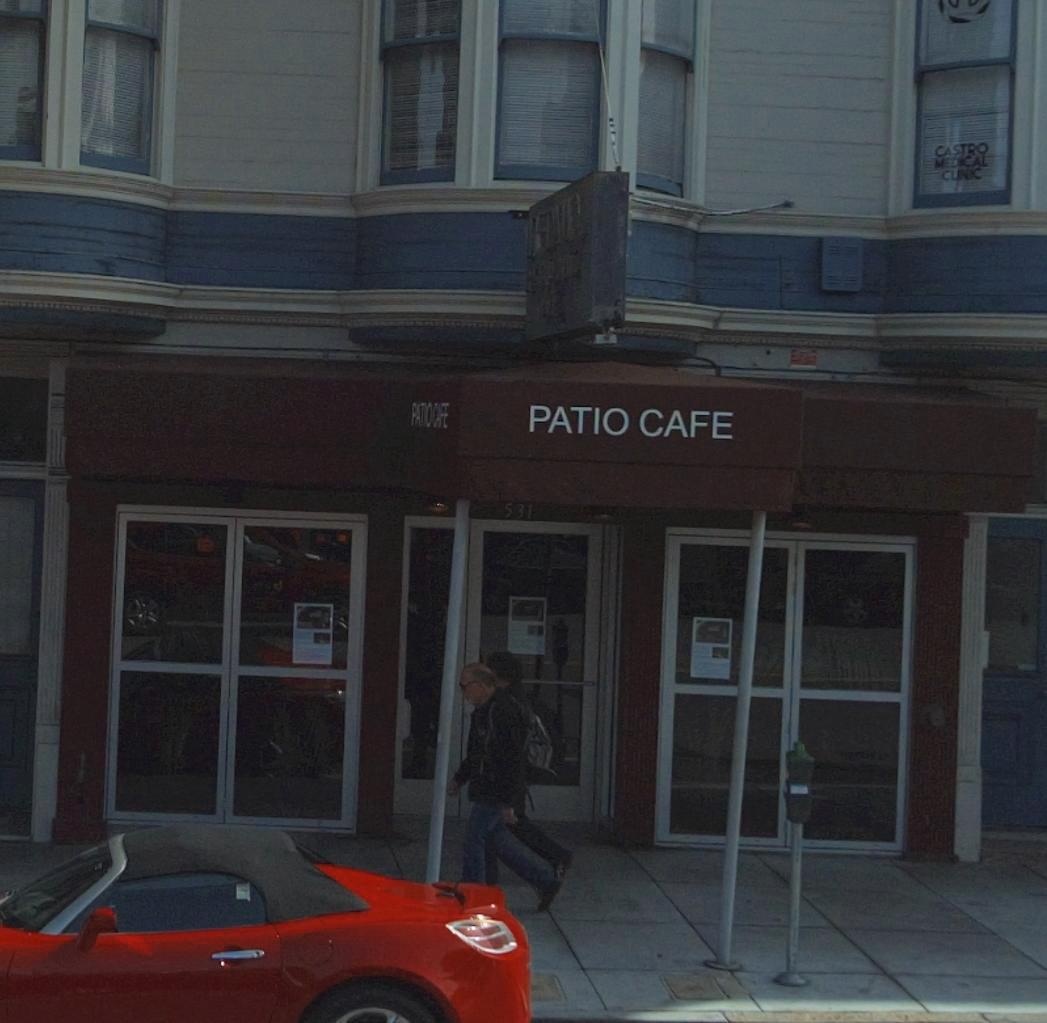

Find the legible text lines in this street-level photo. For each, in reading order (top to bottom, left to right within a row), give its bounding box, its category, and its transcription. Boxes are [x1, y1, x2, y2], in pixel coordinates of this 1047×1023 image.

[409, 399, 452, 430] BusinessName: PATIO CAFE
[525, 401, 738, 442] BusinessName: PATIO CAFE
[502, 500, 535, 522] StreetNumber: 531